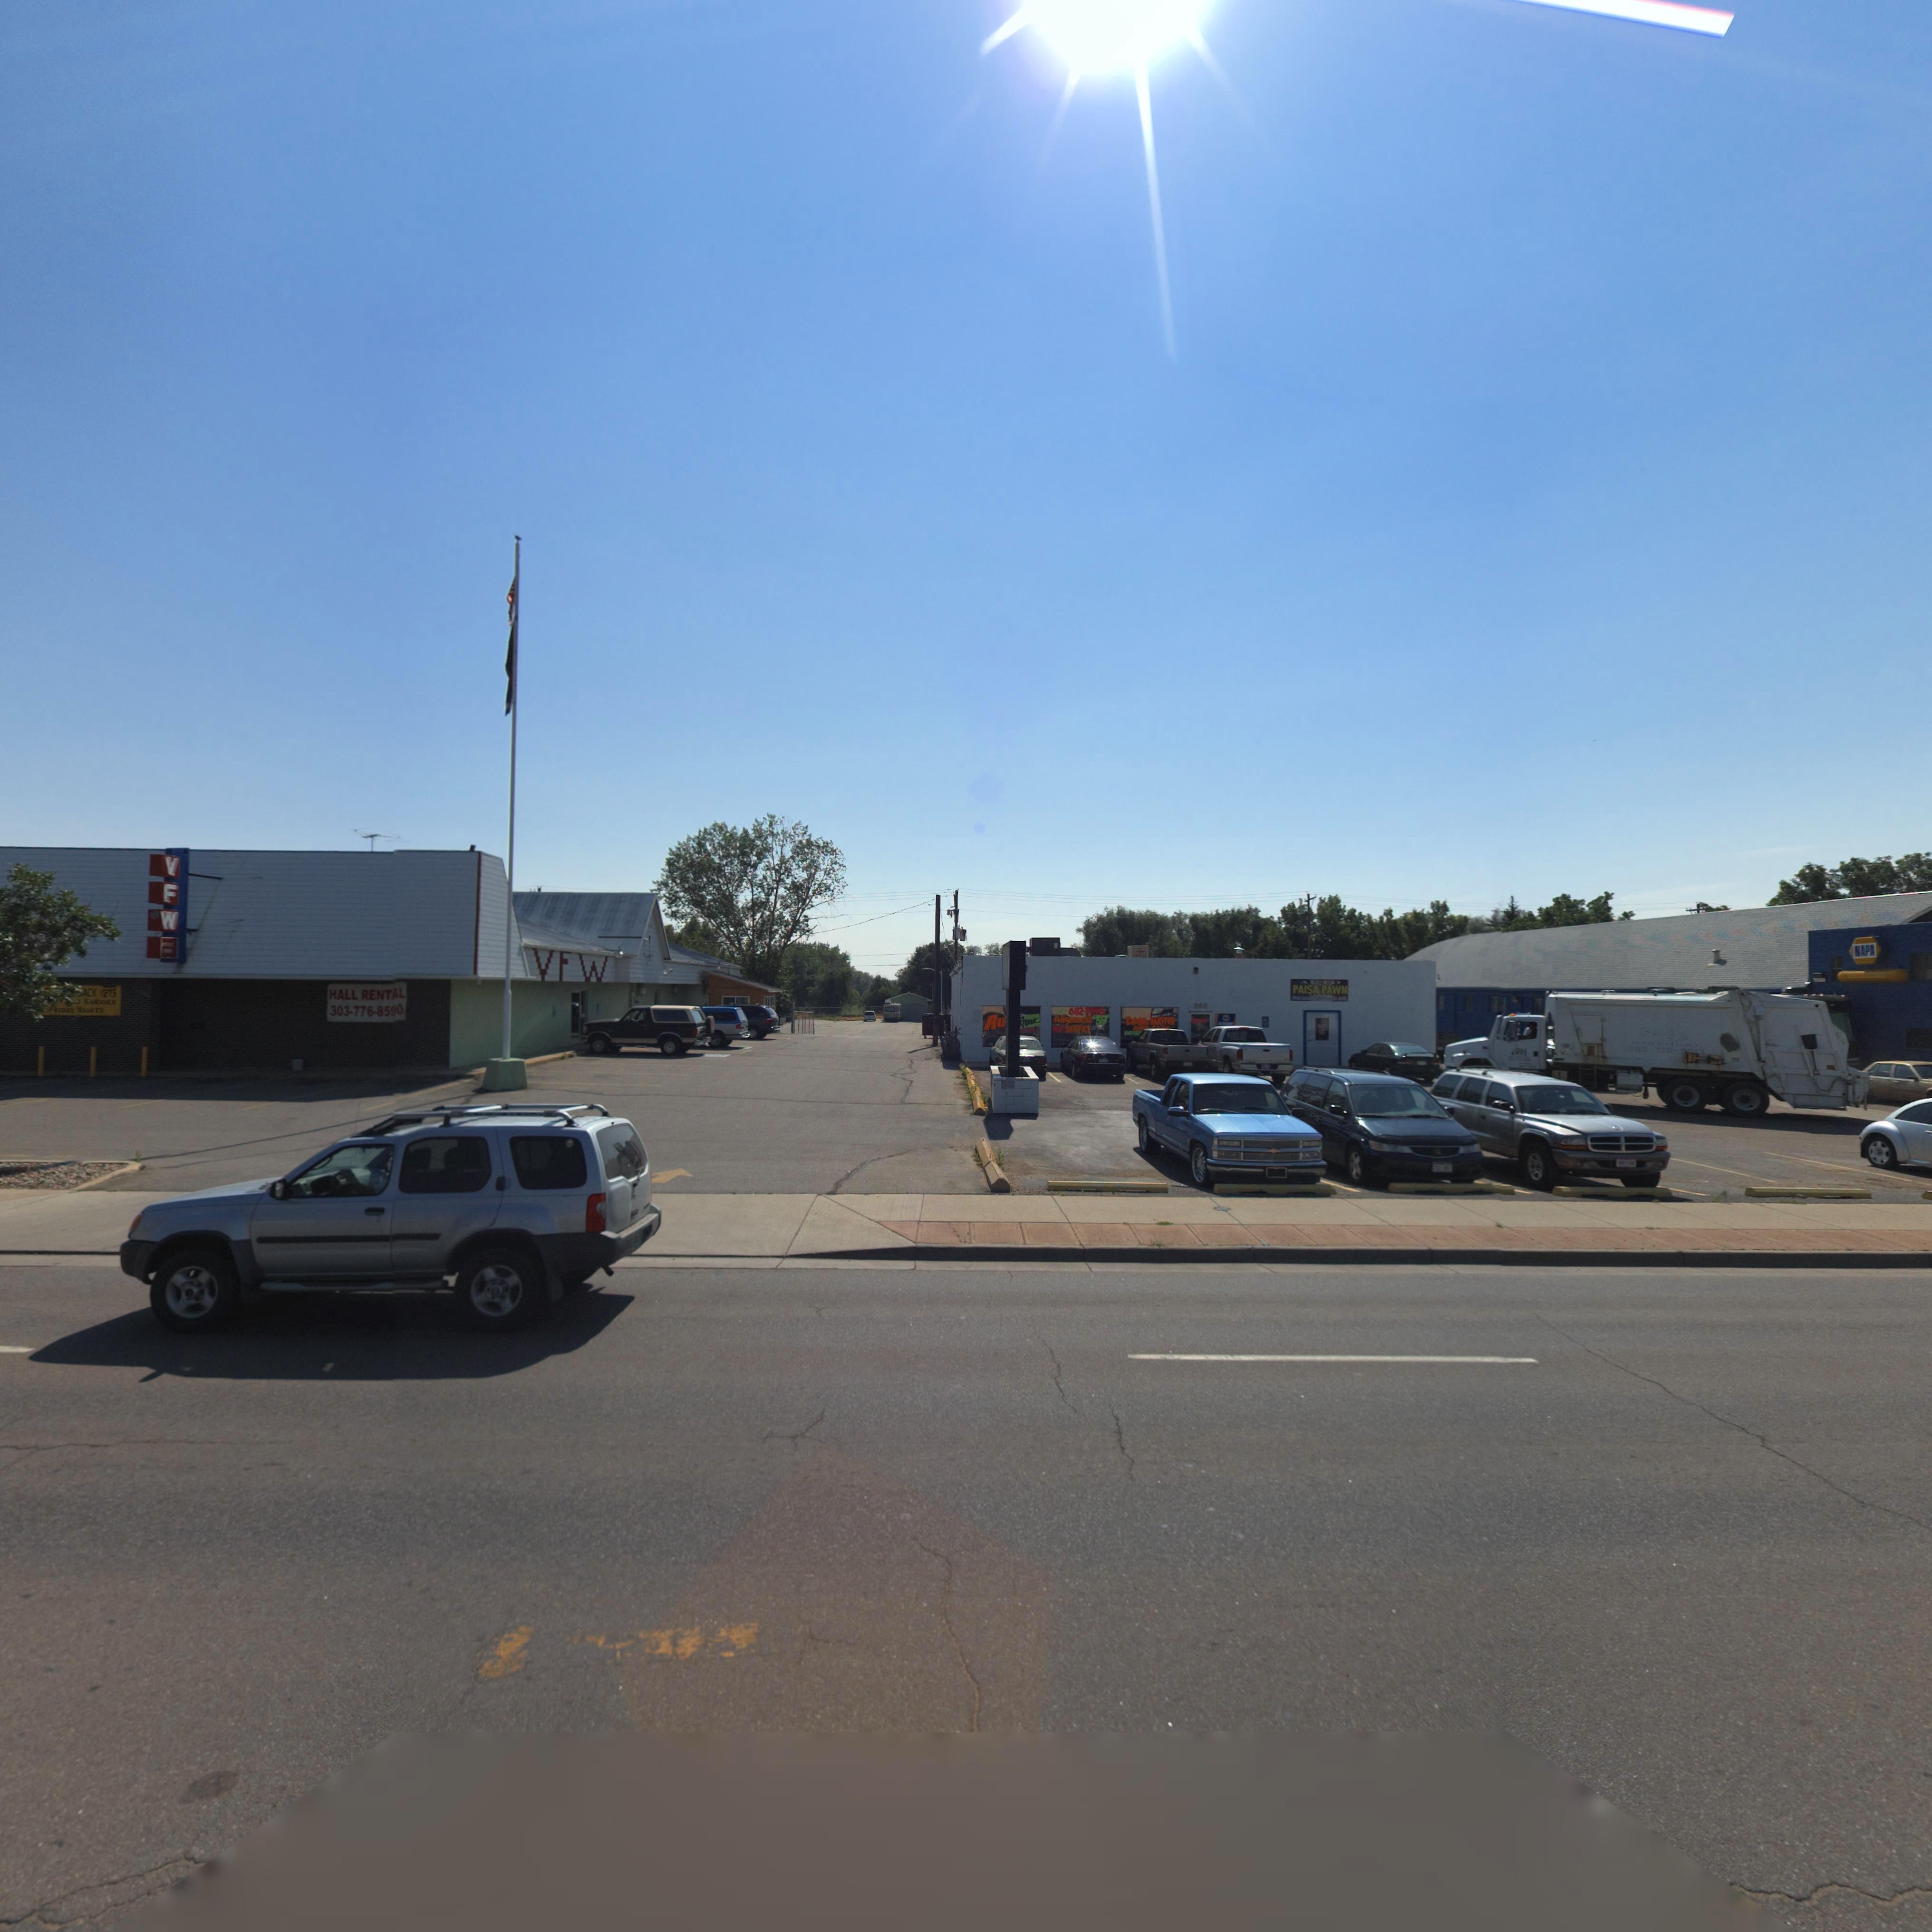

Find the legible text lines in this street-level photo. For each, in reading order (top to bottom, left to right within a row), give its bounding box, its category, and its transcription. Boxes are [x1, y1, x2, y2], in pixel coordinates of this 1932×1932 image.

[162, 854, 181, 931] BusinessName: VFW
[531, 947, 610, 983] BusinessName: VFW
[1855, 944, 1875, 957] BusinessName: NAPA
[1193, 1002, 1208, 1009] StreetNumber: *08